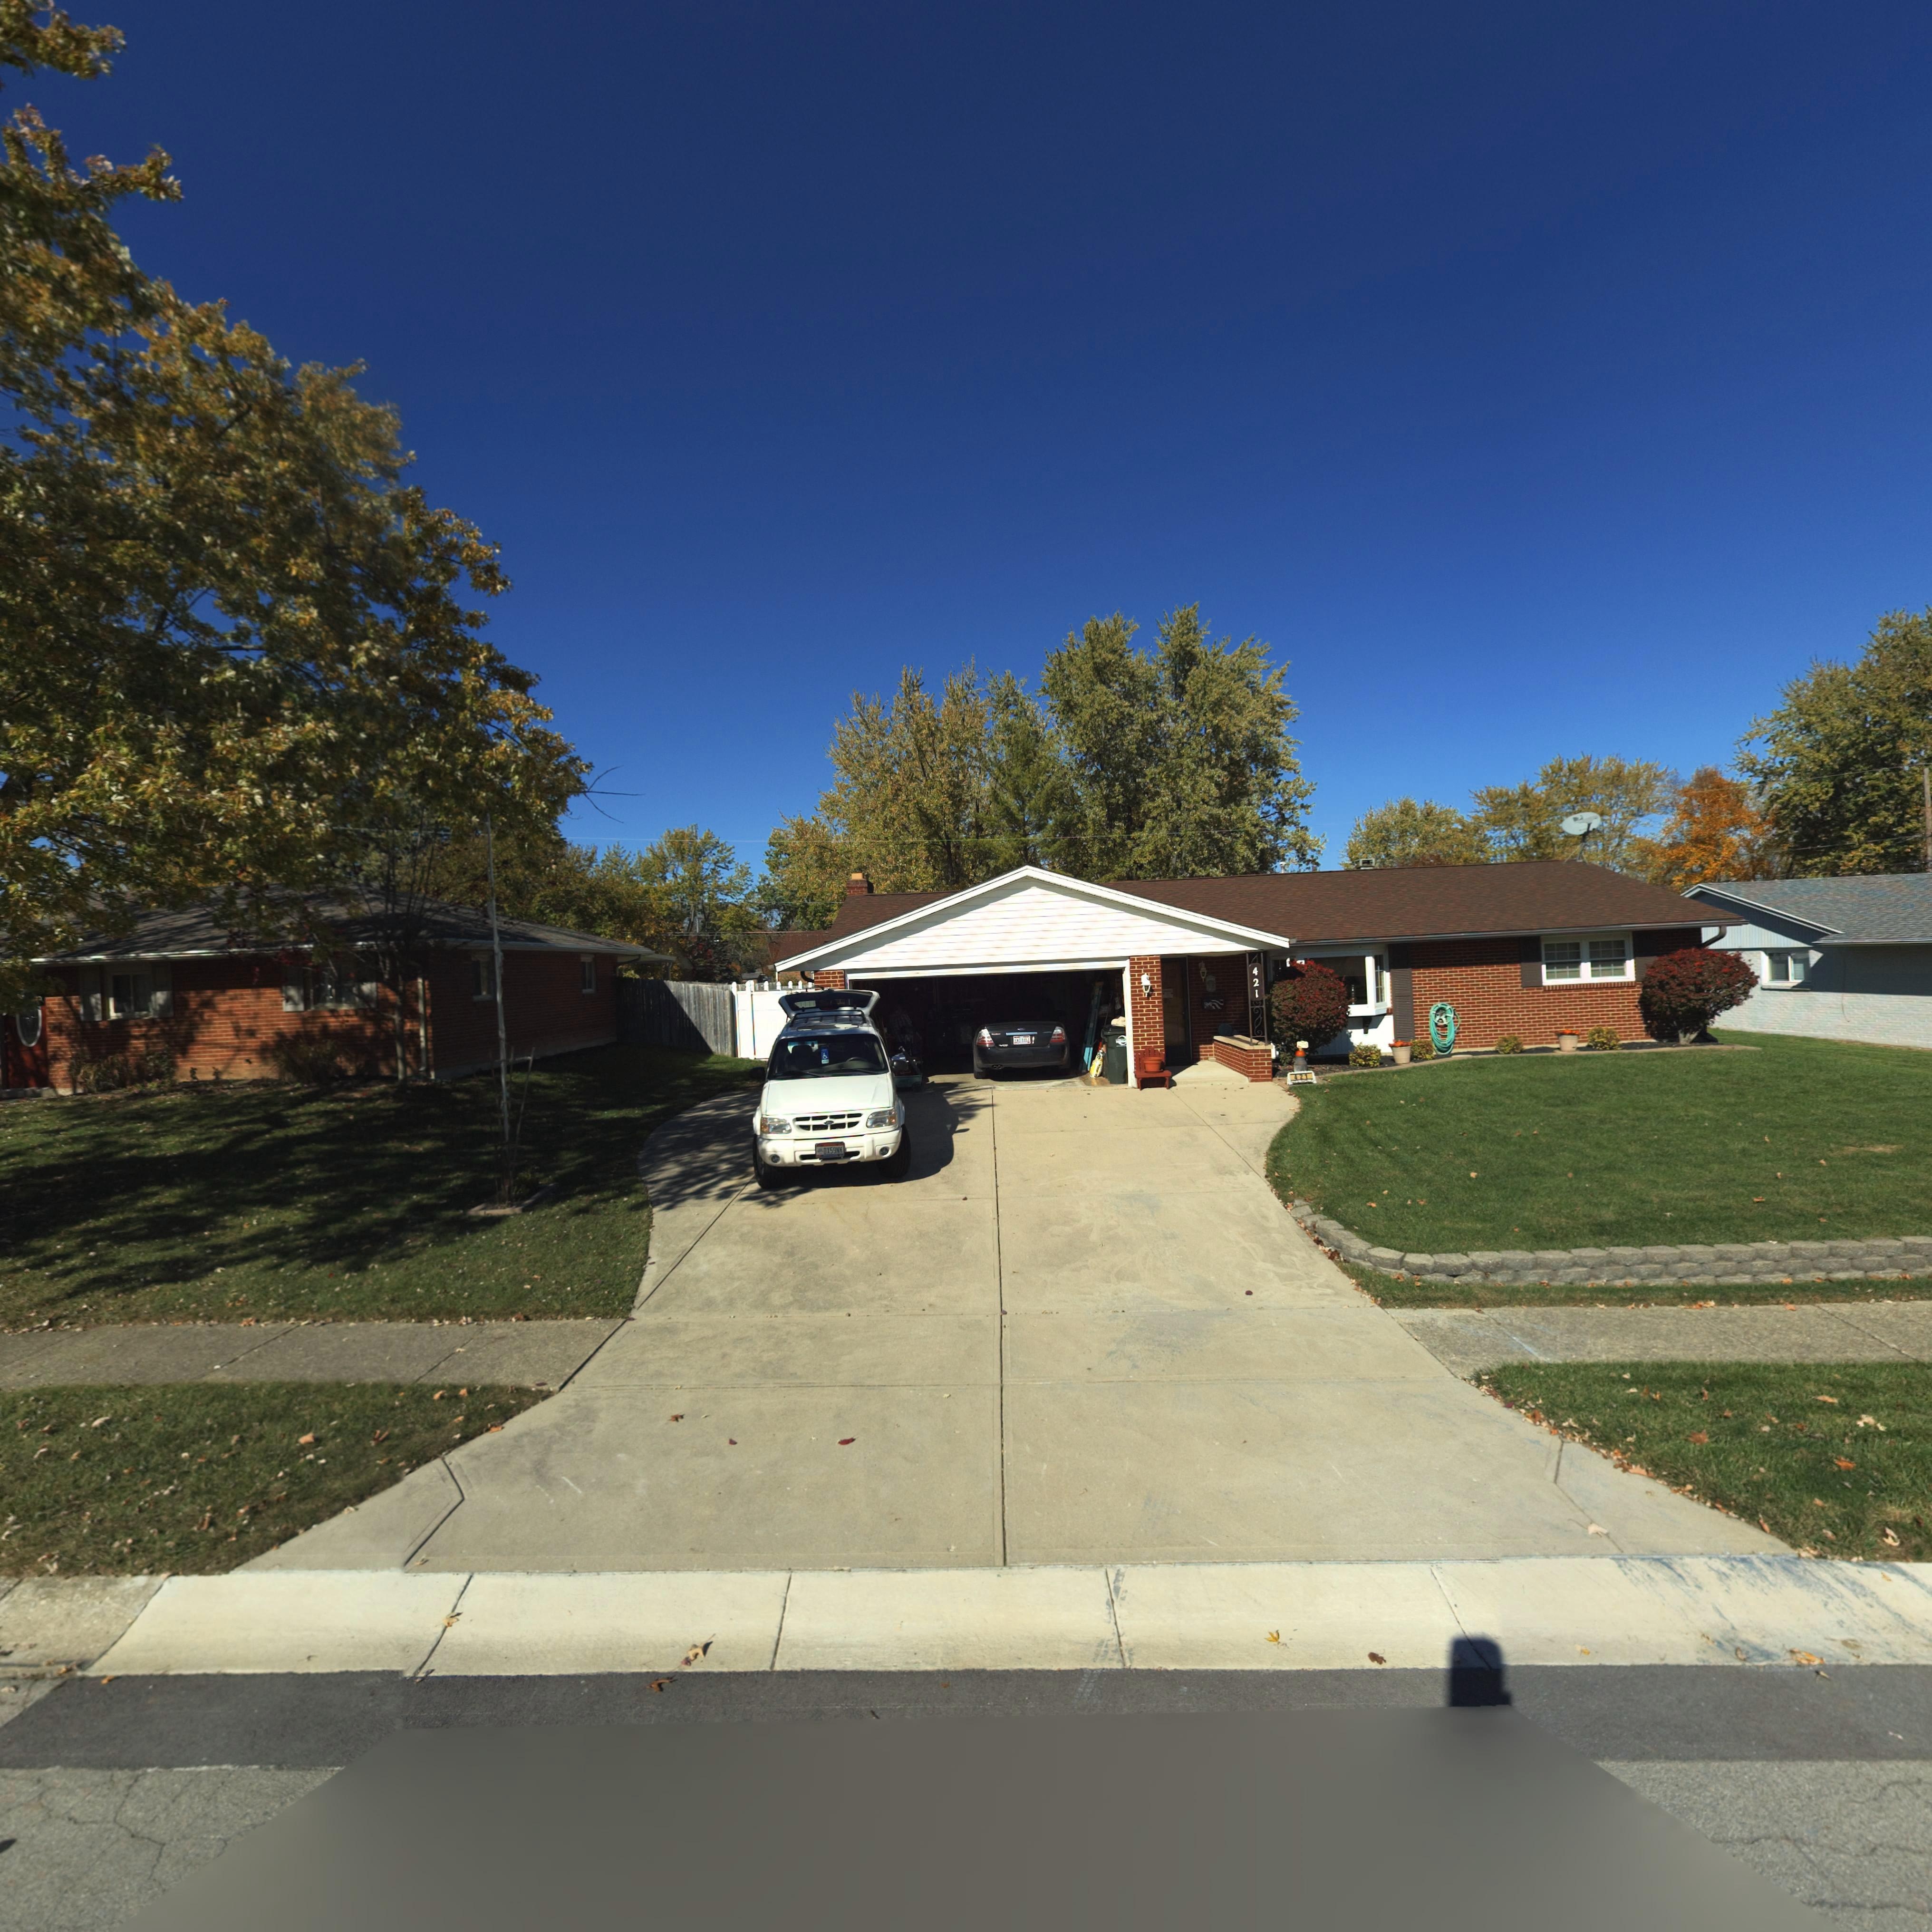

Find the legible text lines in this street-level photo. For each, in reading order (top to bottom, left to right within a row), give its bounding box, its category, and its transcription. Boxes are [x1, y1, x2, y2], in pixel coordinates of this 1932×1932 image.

[1251, 966, 1261, 999] StreetNumber: 421
[1293, 1072, 1308, 1081] StreetNumber: 421
[822, 1146, 843, 1155] None: DX59N*